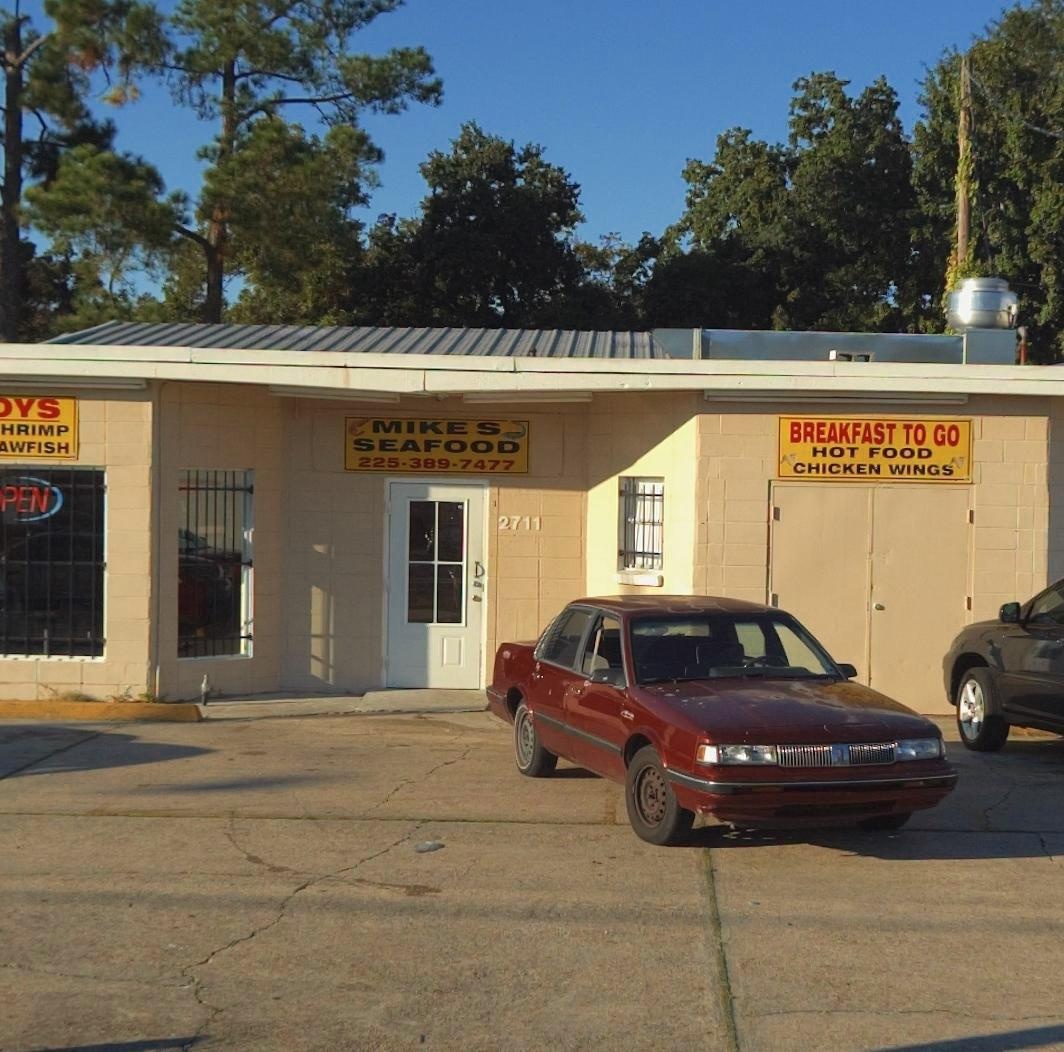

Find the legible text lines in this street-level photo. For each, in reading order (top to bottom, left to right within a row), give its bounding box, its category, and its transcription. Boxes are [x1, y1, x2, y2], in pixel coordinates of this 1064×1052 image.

[11, 394, 64, 420] None: YS
[0, 421, 72, 439] None: HRIMP
[369, 417, 506, 438] BusinessName: MIKES
[787, 419, 962, 449] None: BREAKFAST TO GO
[5, 438, 73, 457] None: WFISH
[350, 435, 524, 456] BusinessName: SEAFOOD
[355, 453, 519, 473] None: 225-389-7477
[810, 444, 936, 462] None: HOT FOOD
[790, 459, 958, 479] None: CHICKEN WINGS
[0, 483, 54, 515] None: PEN
[497, 513, 543, 532] StreetNumber: 2711